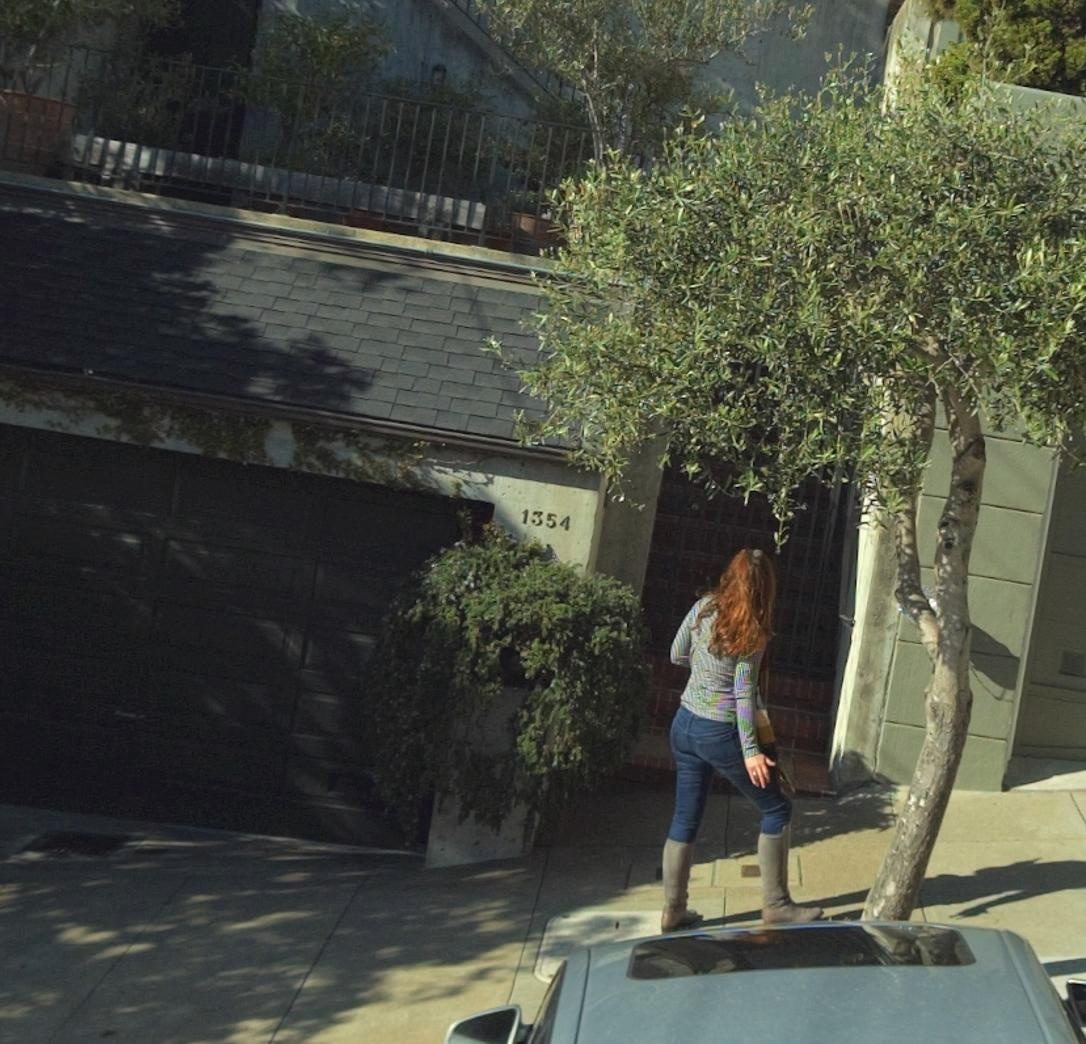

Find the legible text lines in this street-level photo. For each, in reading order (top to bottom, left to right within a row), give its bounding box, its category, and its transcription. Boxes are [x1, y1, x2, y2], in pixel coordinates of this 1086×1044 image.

[520, 507, 572, 532] StreetNumber: 1354